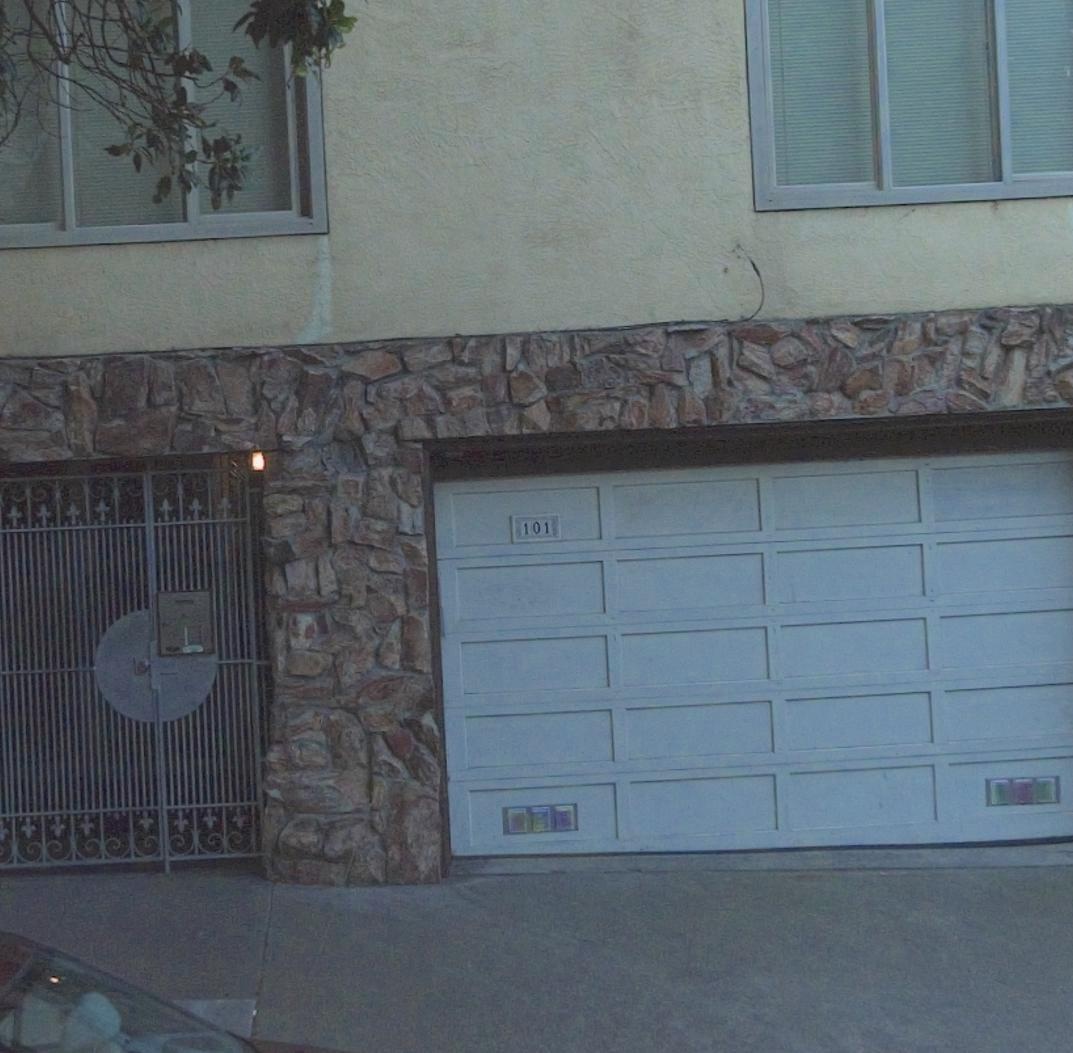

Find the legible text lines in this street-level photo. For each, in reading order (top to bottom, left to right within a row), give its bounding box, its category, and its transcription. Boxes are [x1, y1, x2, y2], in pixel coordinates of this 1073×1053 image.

[522, 520, 552, 537] StreetNumber: 101